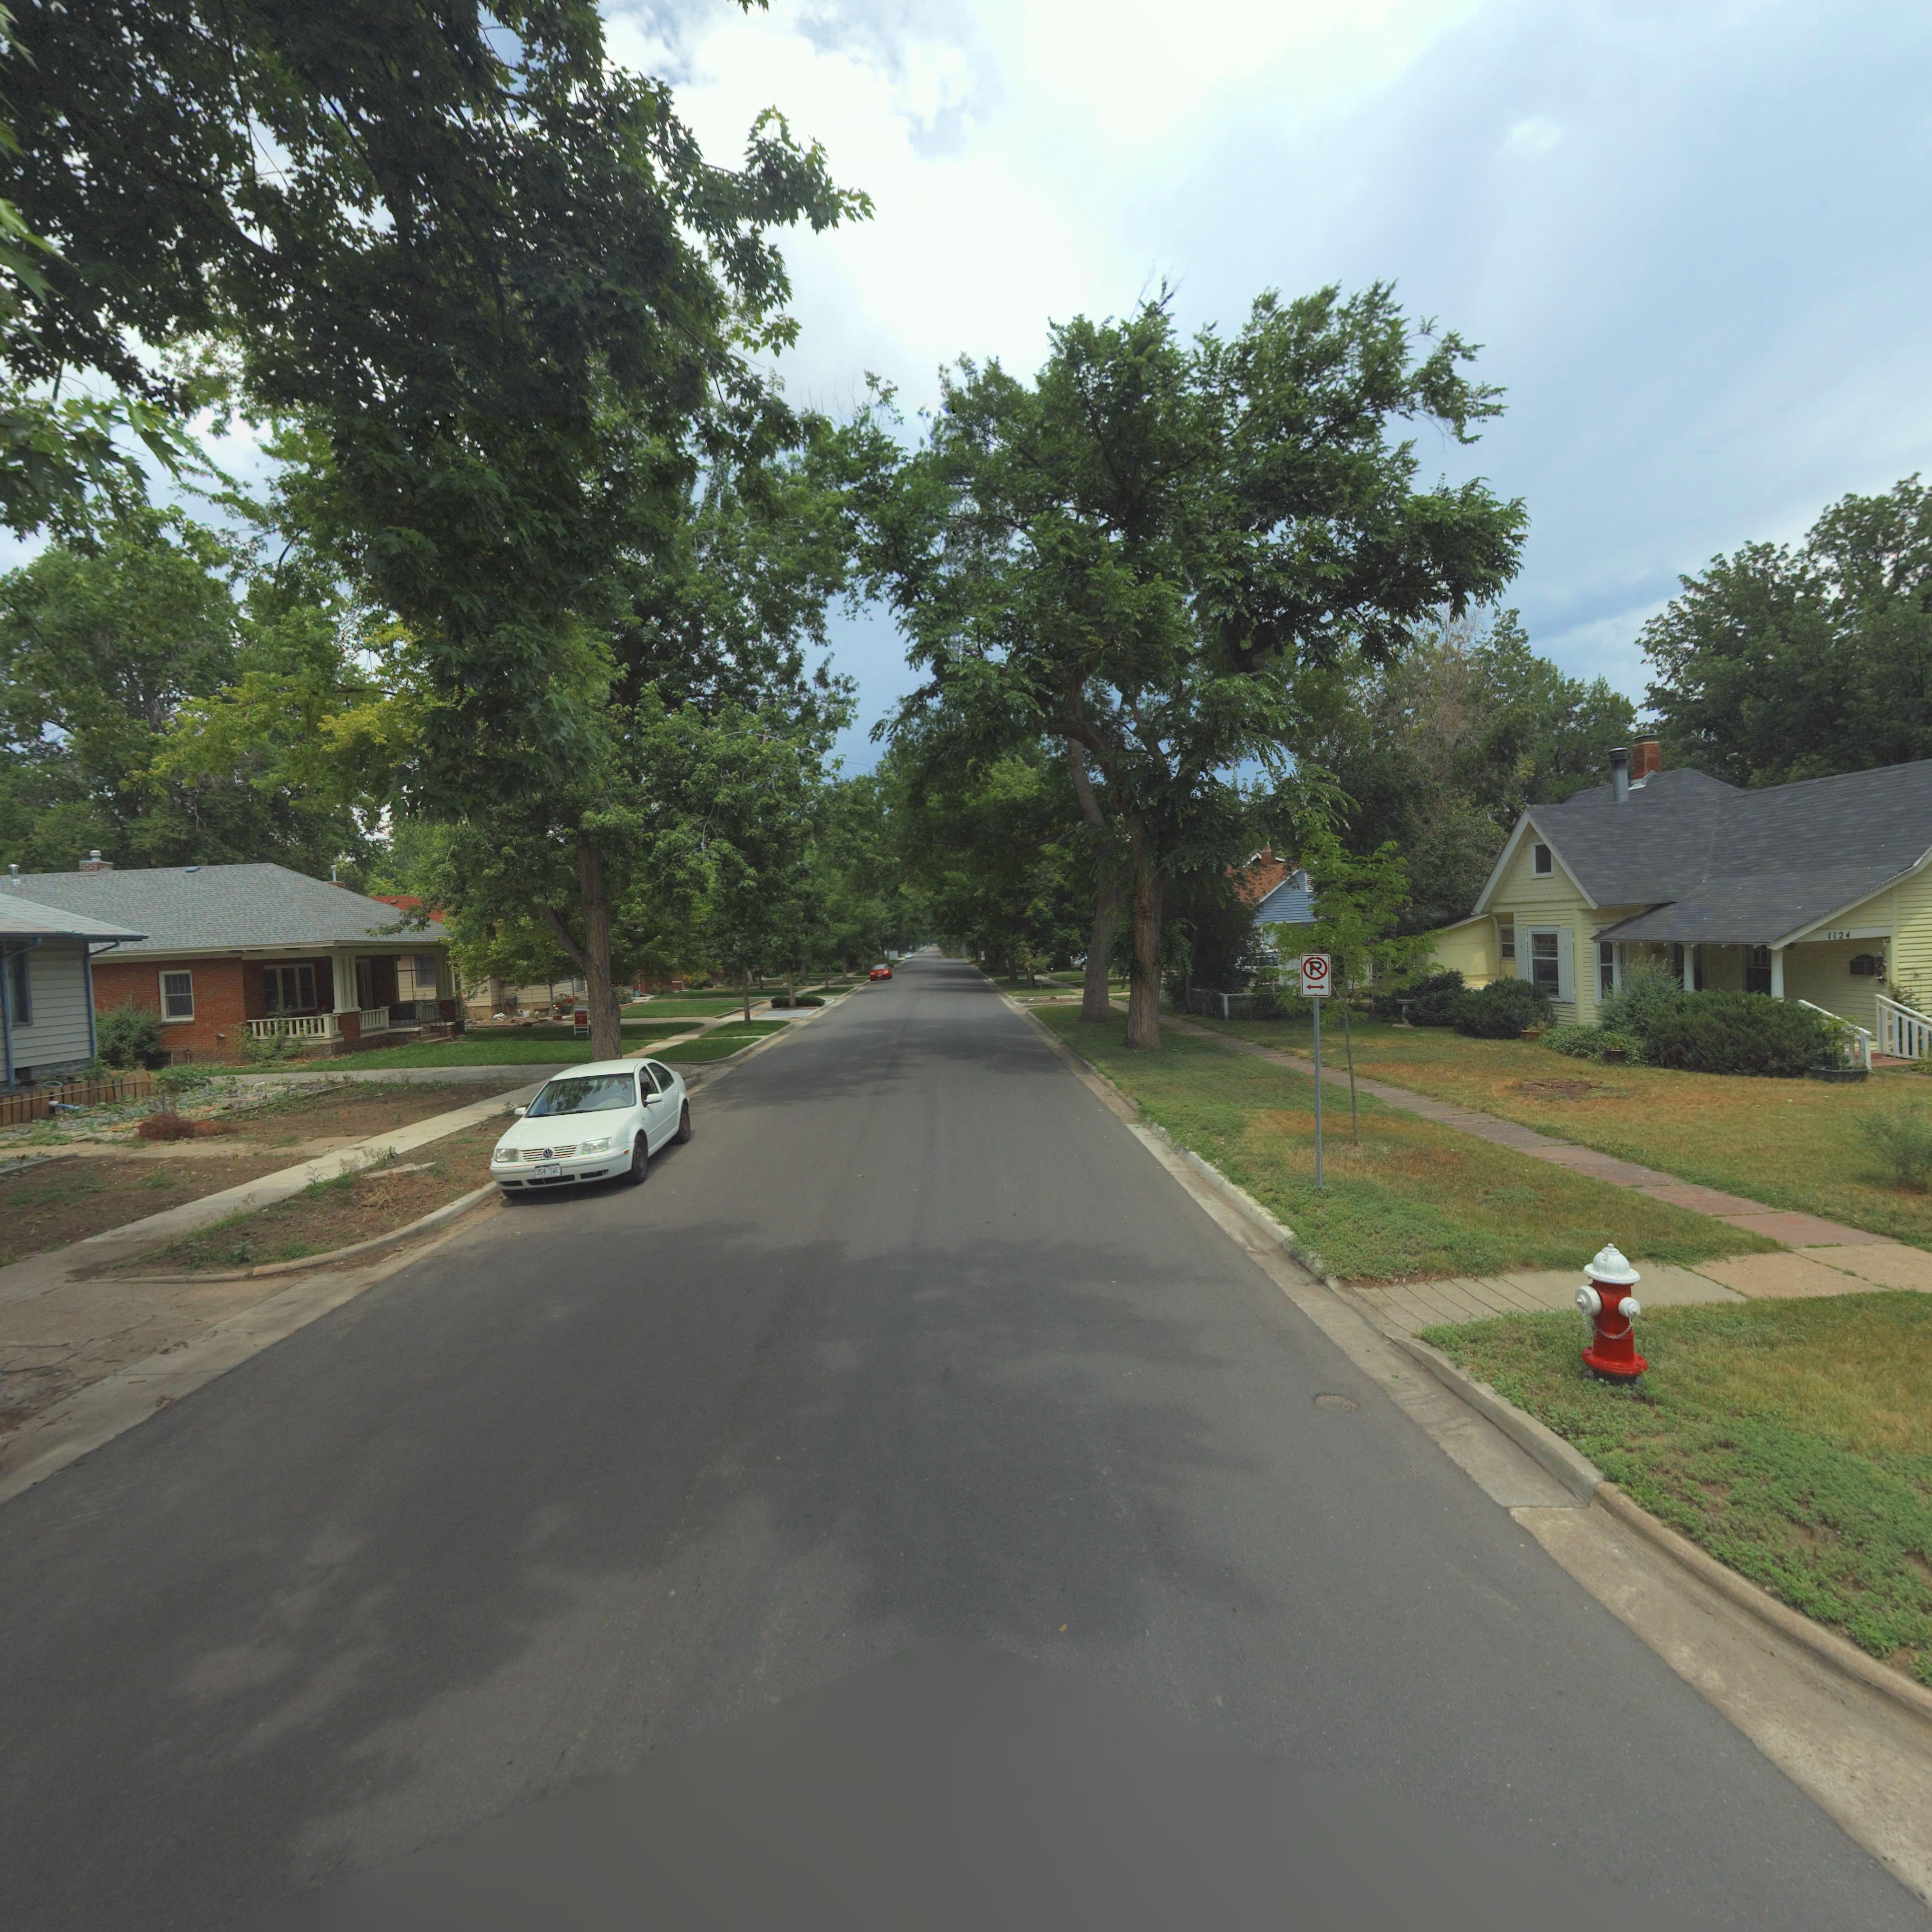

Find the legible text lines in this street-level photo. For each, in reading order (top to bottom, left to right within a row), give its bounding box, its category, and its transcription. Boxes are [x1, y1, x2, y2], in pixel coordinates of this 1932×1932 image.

[1826, 930, 1850, 940] StreetNumber: 1124